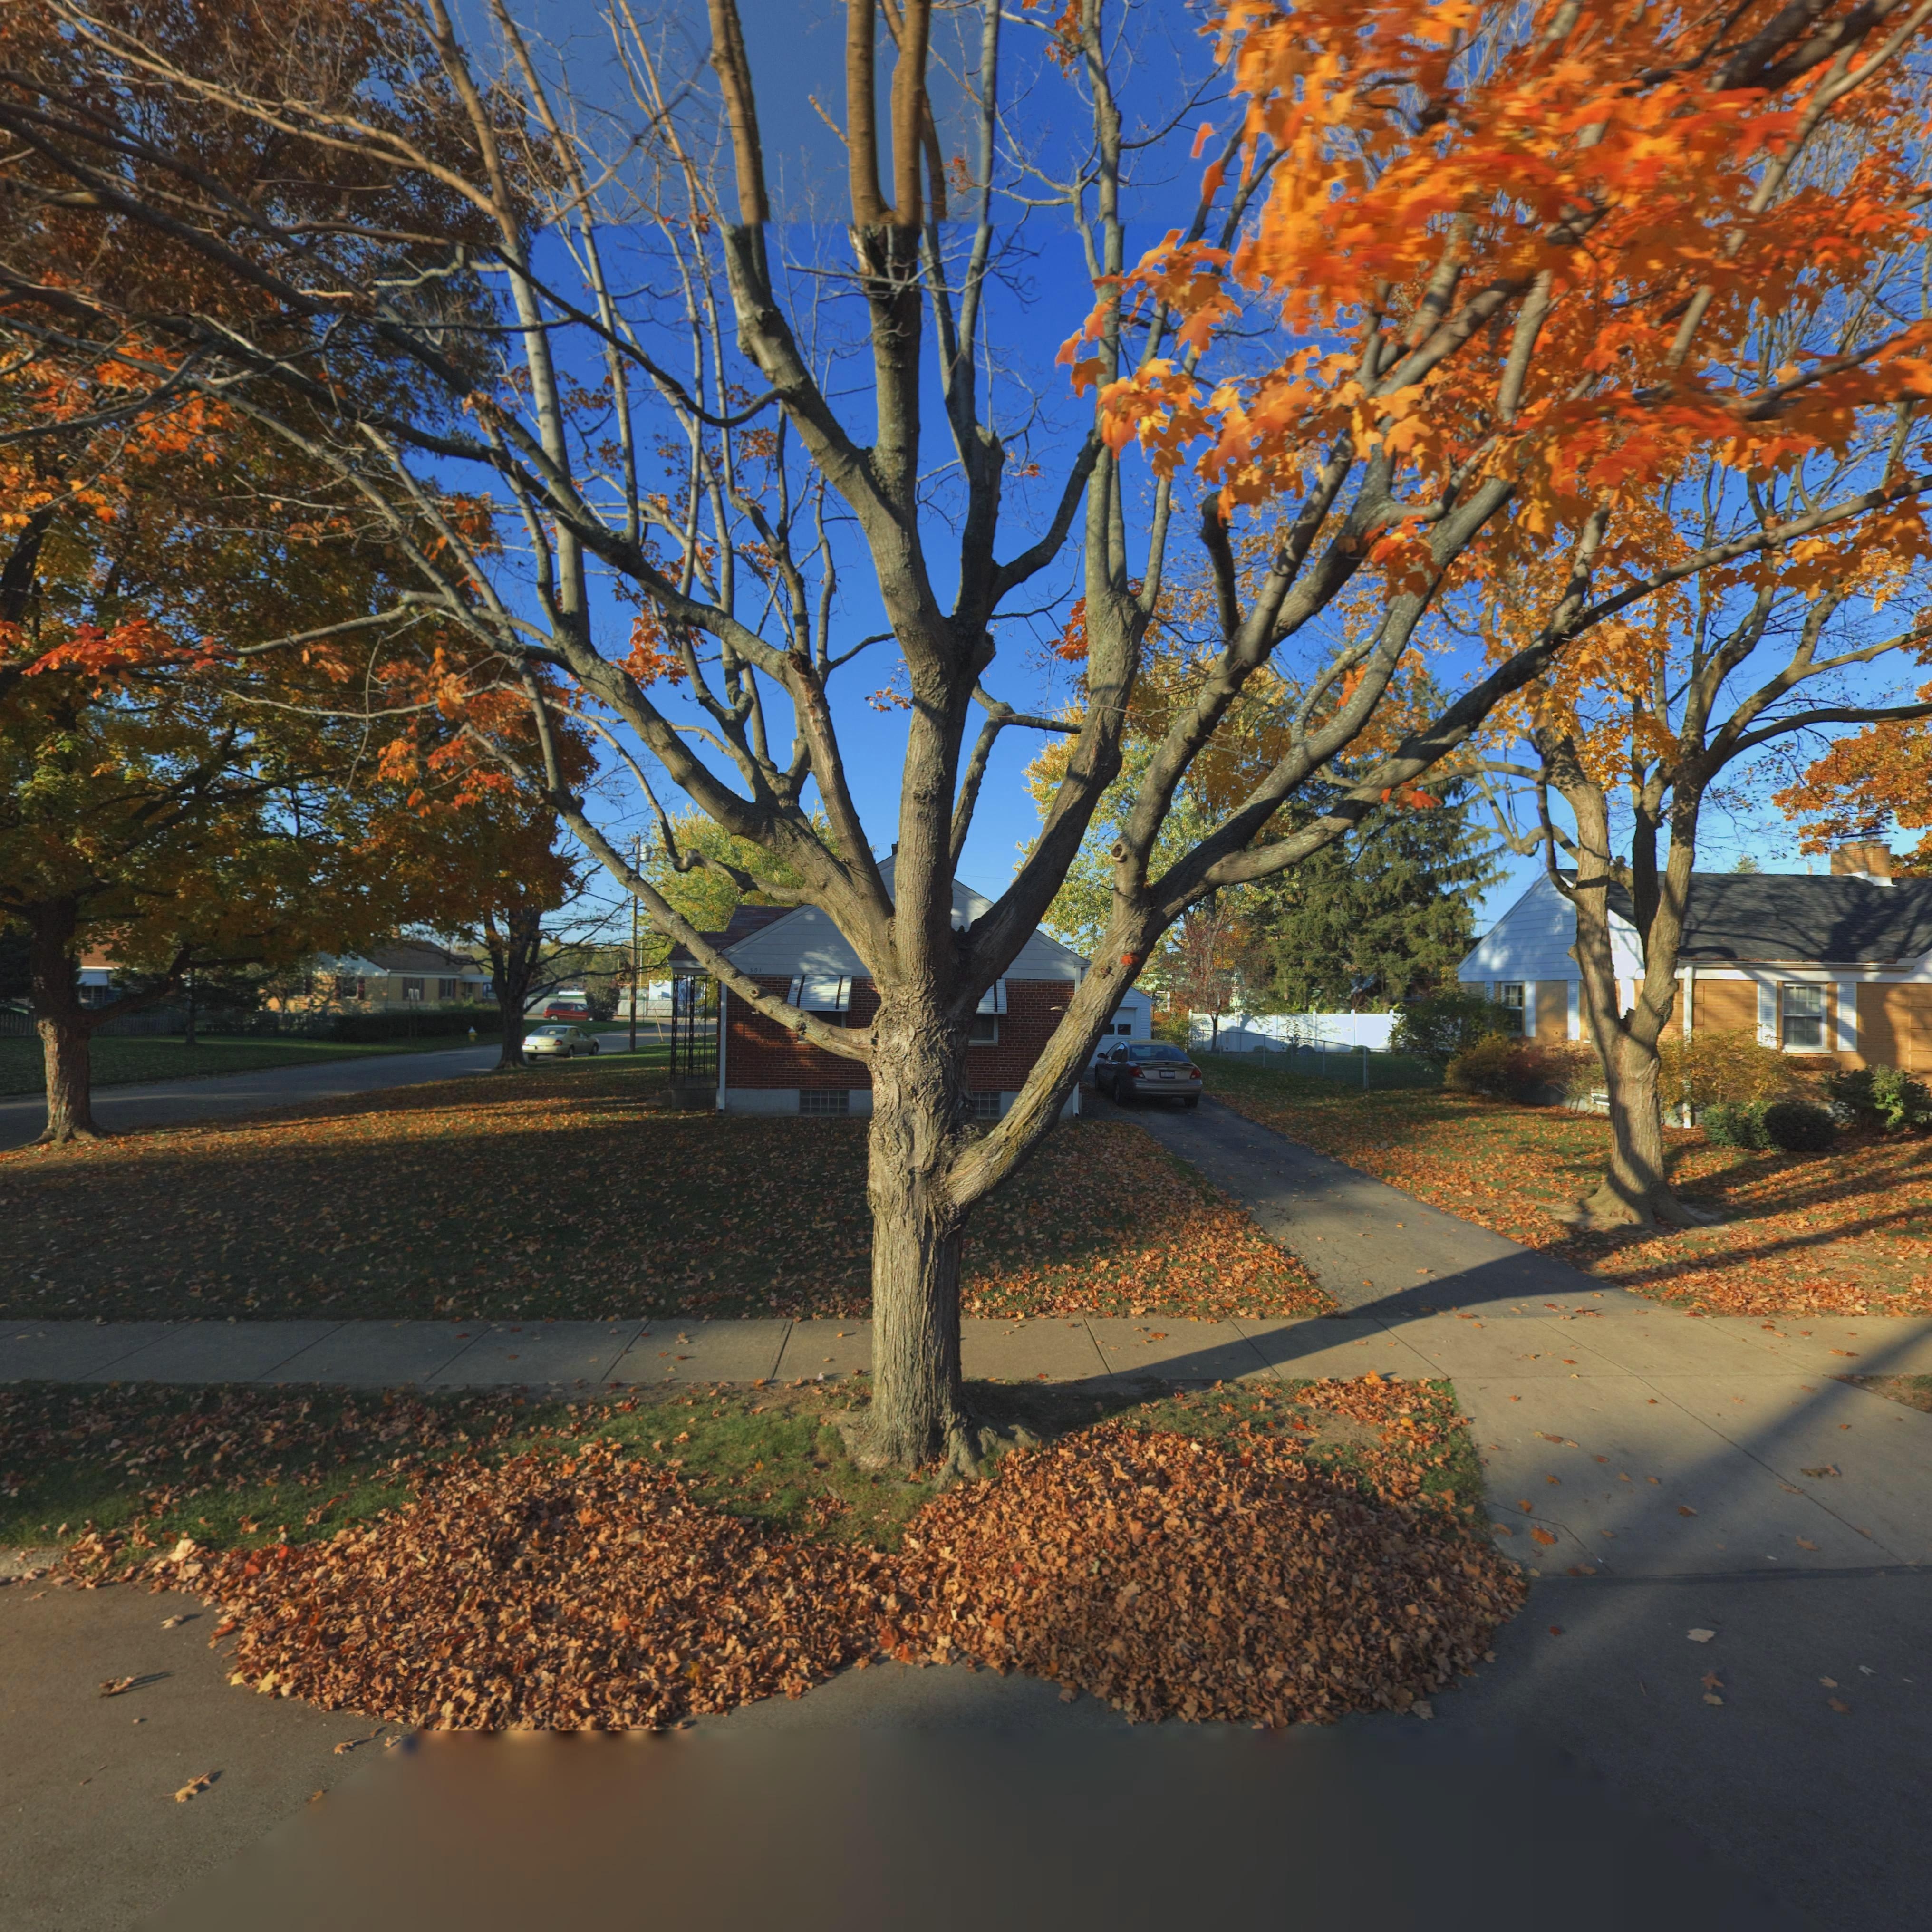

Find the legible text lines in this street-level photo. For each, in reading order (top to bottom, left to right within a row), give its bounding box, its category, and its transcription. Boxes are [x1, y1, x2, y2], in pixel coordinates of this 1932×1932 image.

[749, 967, 762, 973] StreetNumber: 301